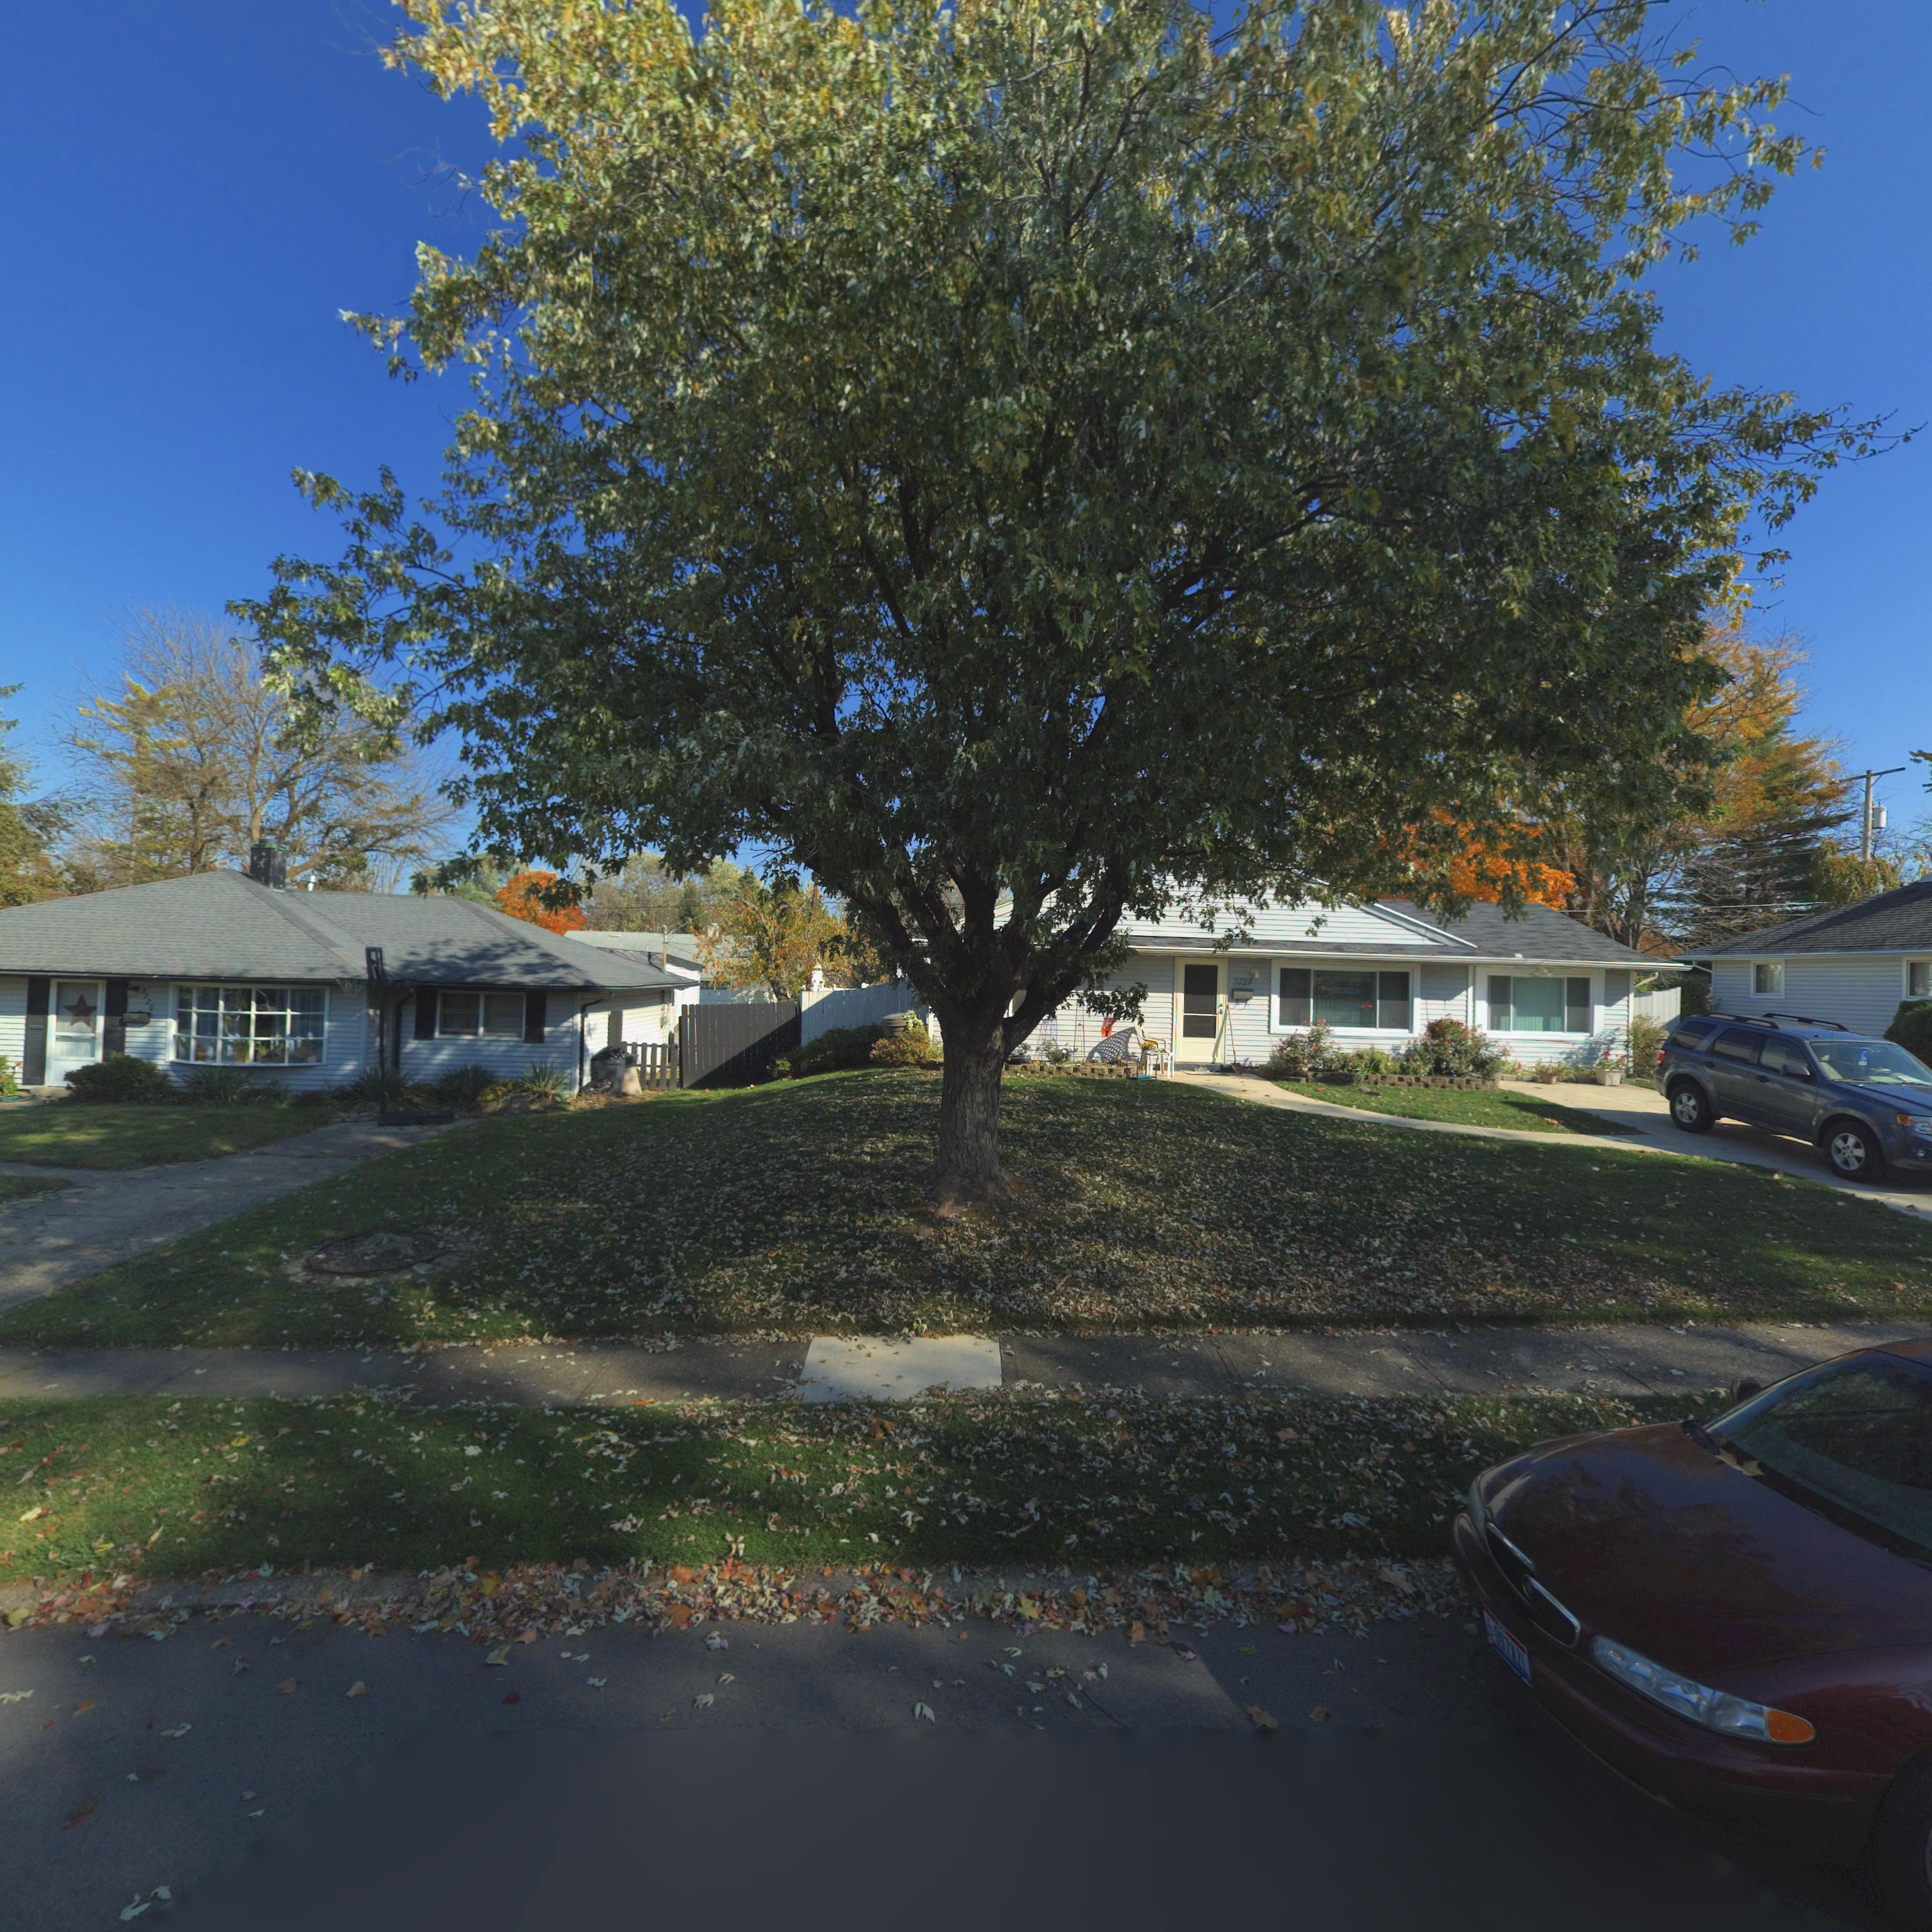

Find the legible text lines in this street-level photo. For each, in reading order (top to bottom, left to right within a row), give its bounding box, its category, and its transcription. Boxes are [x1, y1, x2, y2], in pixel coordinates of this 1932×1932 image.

[1231, 977, 1254, 986] StreetNumber: 3724
[140, 987, 155, 1013] StreetNumber: 3720